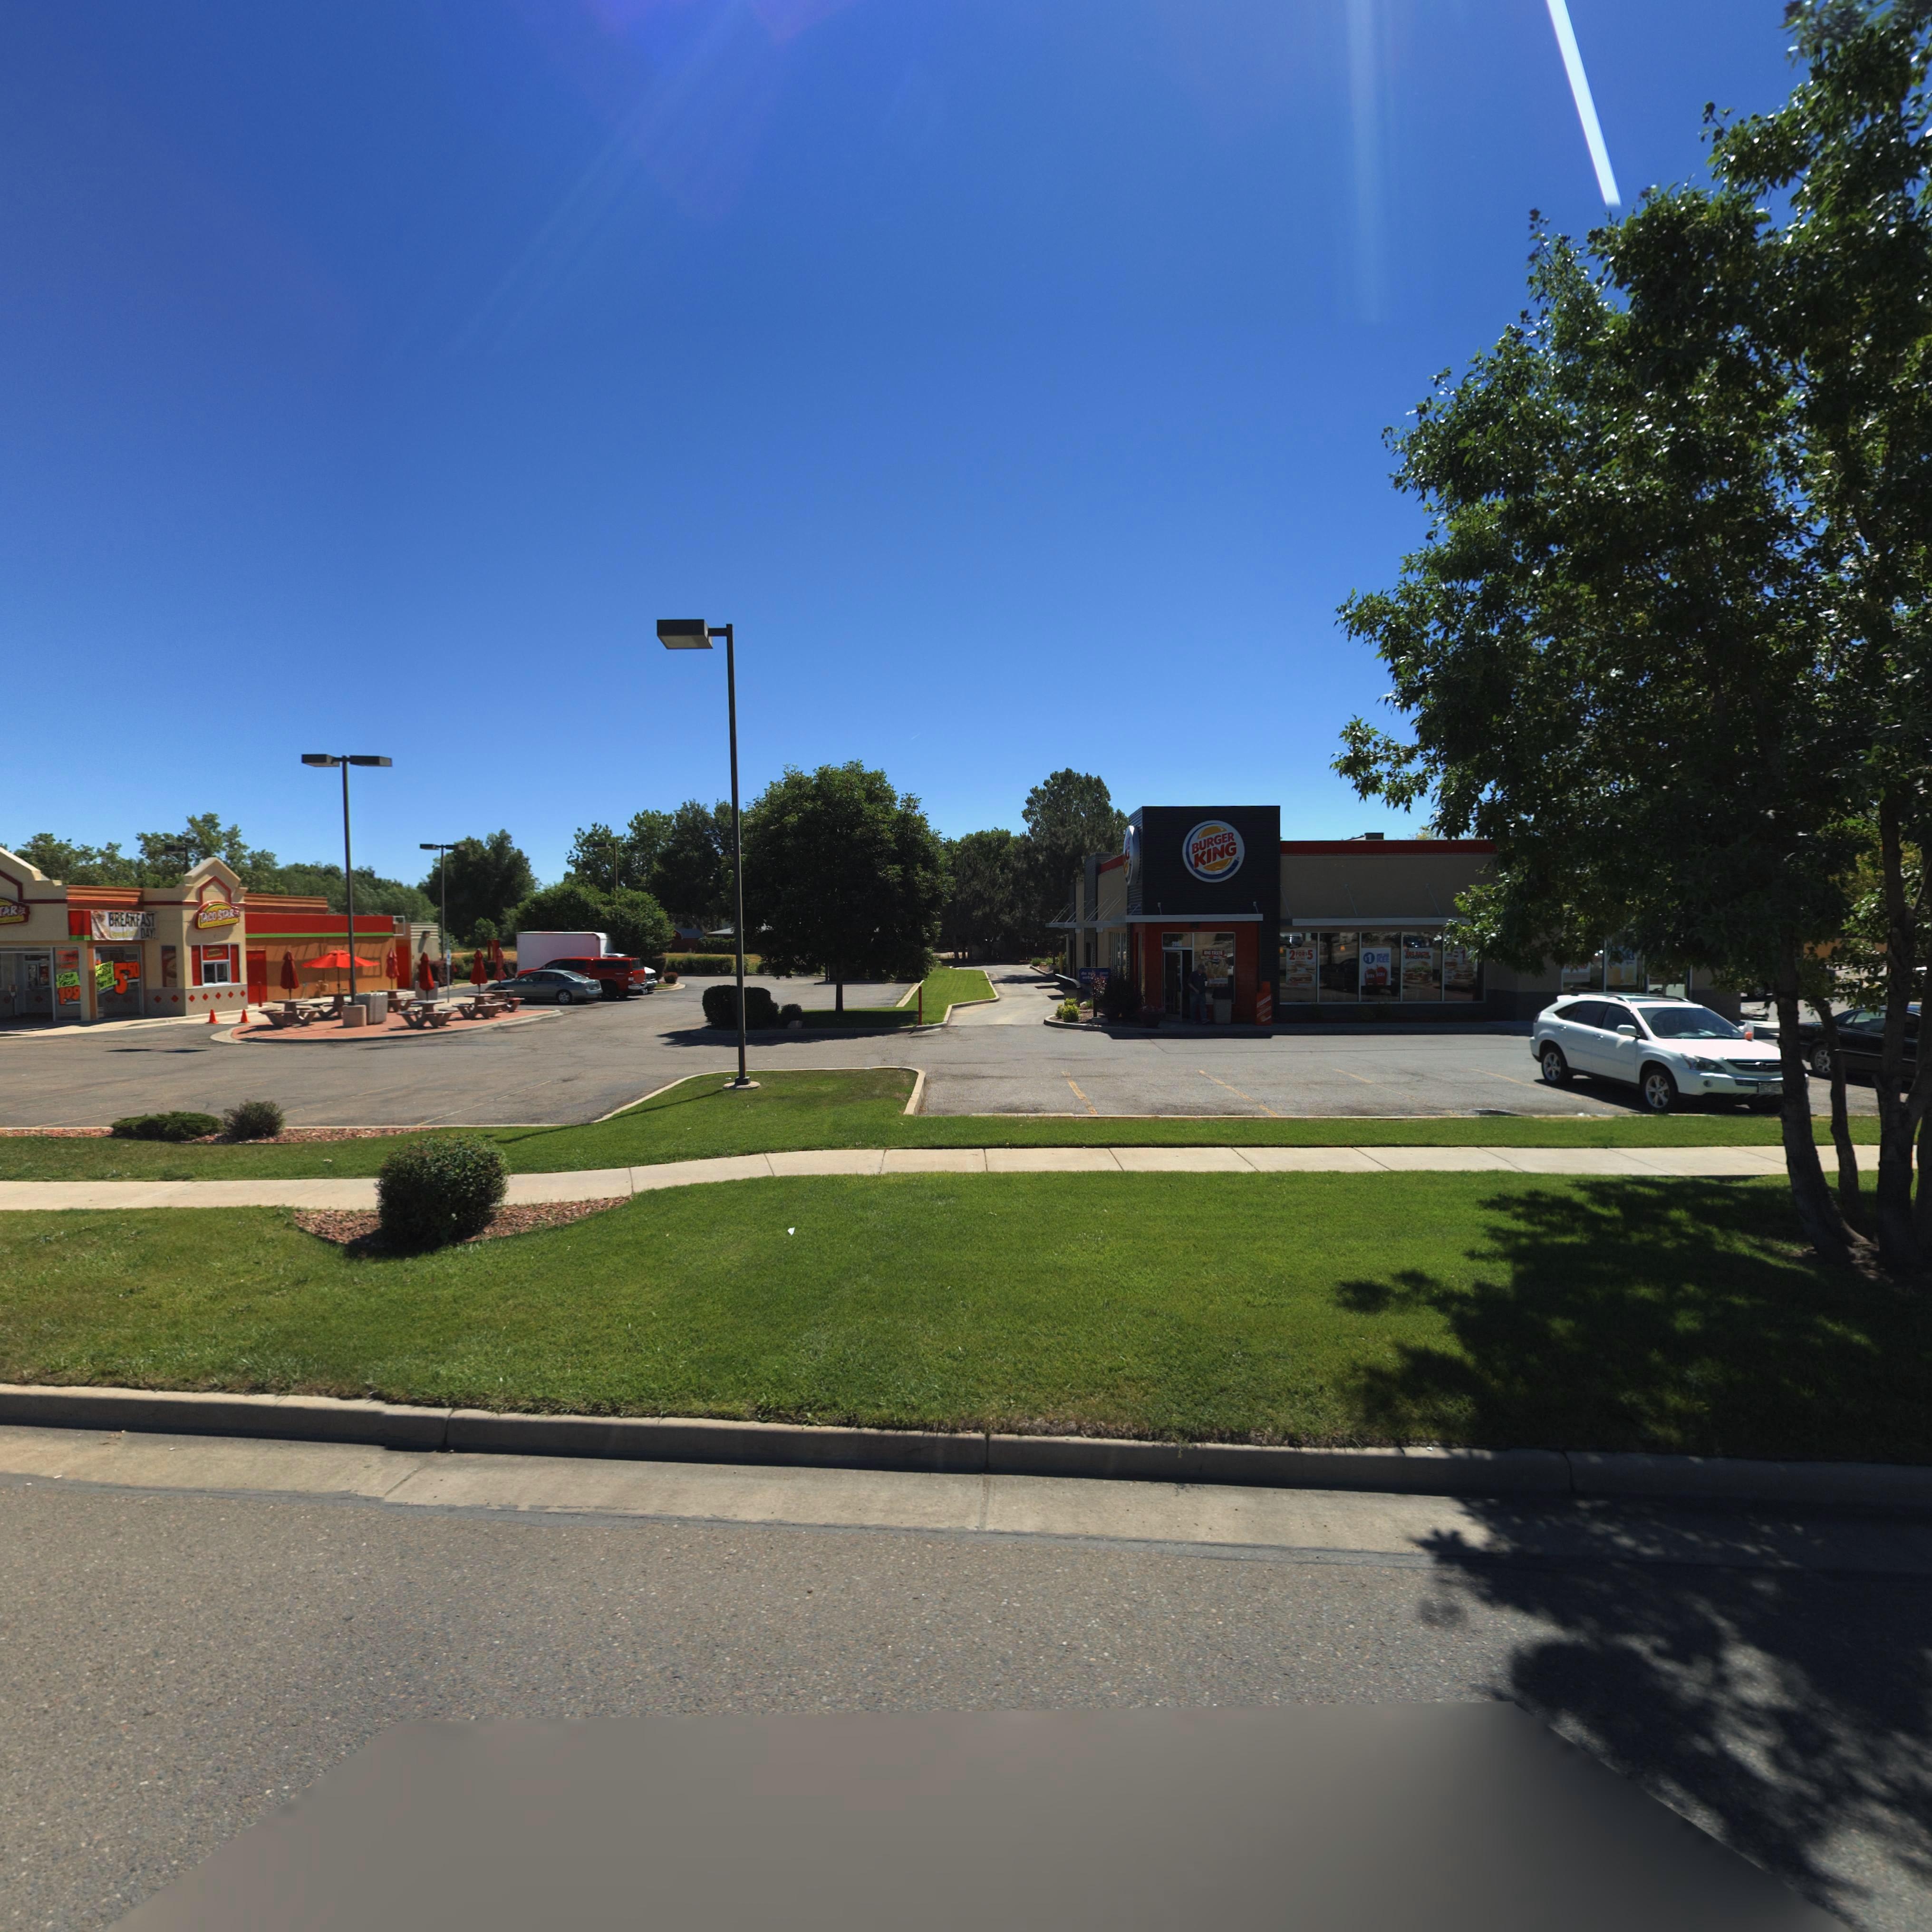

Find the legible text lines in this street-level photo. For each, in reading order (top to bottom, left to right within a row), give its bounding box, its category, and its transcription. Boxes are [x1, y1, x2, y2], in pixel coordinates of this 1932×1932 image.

[1192, 831, 1235, 854] BusinessName: BURGER
[1124, 846, 1130, 860] StreetNumber: G
[1194, 841, 1236, 869] BusinessName: KING
[2, 905, 18, 916] BusinessName: AR
[198, 908, 235, 923] BusinessName: TACOSTAR
[1171, 940, 1182, 947] StreetNumber: 2003